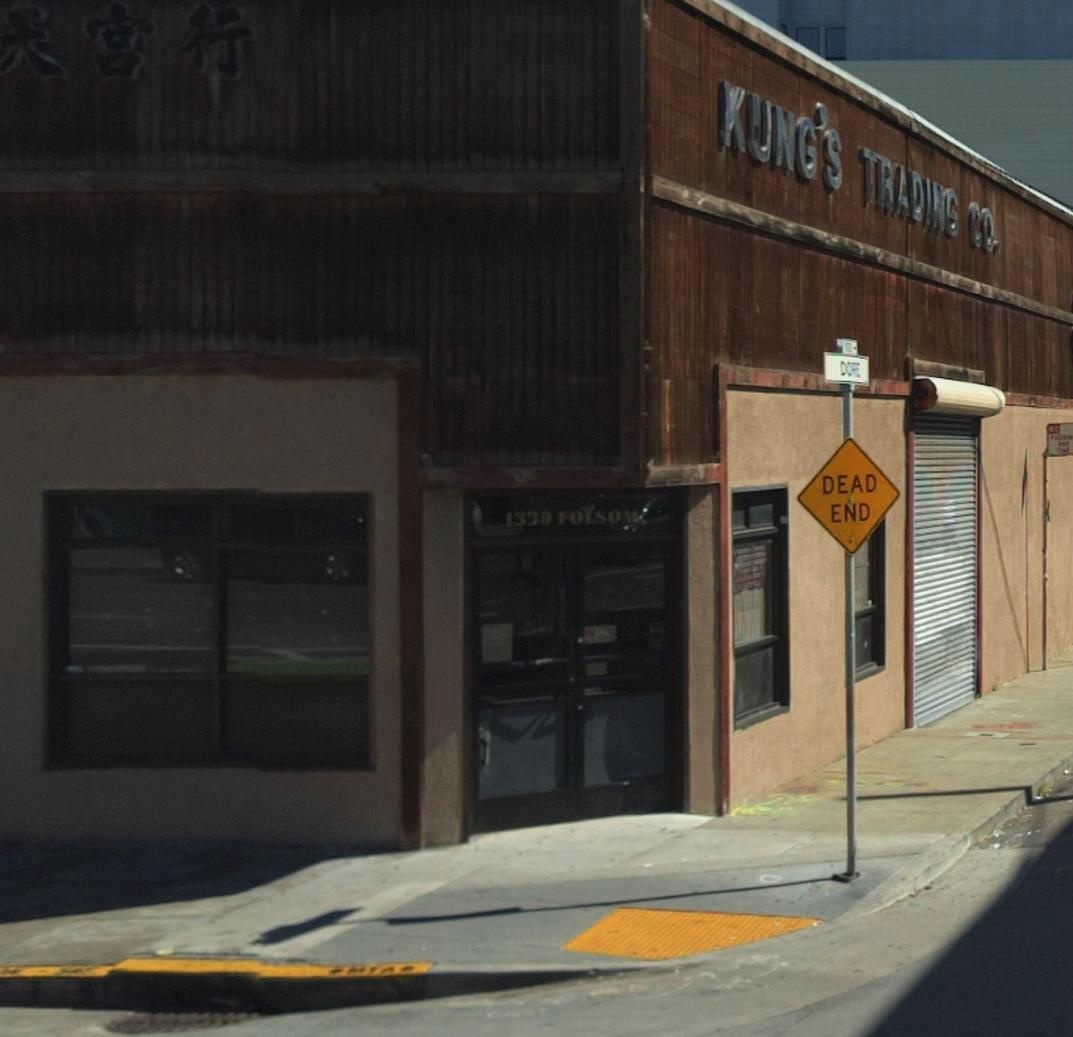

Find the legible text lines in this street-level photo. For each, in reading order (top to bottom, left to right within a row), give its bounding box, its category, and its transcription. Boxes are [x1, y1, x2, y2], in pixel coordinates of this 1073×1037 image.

[715, 71, 1004, 265] BusinessName: KUNG'S TRADING CO.
[837, 356, 864, 383] StreetName: DORE
[818, 470, 881, 496] None: DEAD
[500, 506, 556, 533] StreetNumber: 1339
[552, 505, 643, 529] StreetName: FOLSOM
[825, 498, 874, 526] None: END
[343, 962, 399, 979] None: MTA